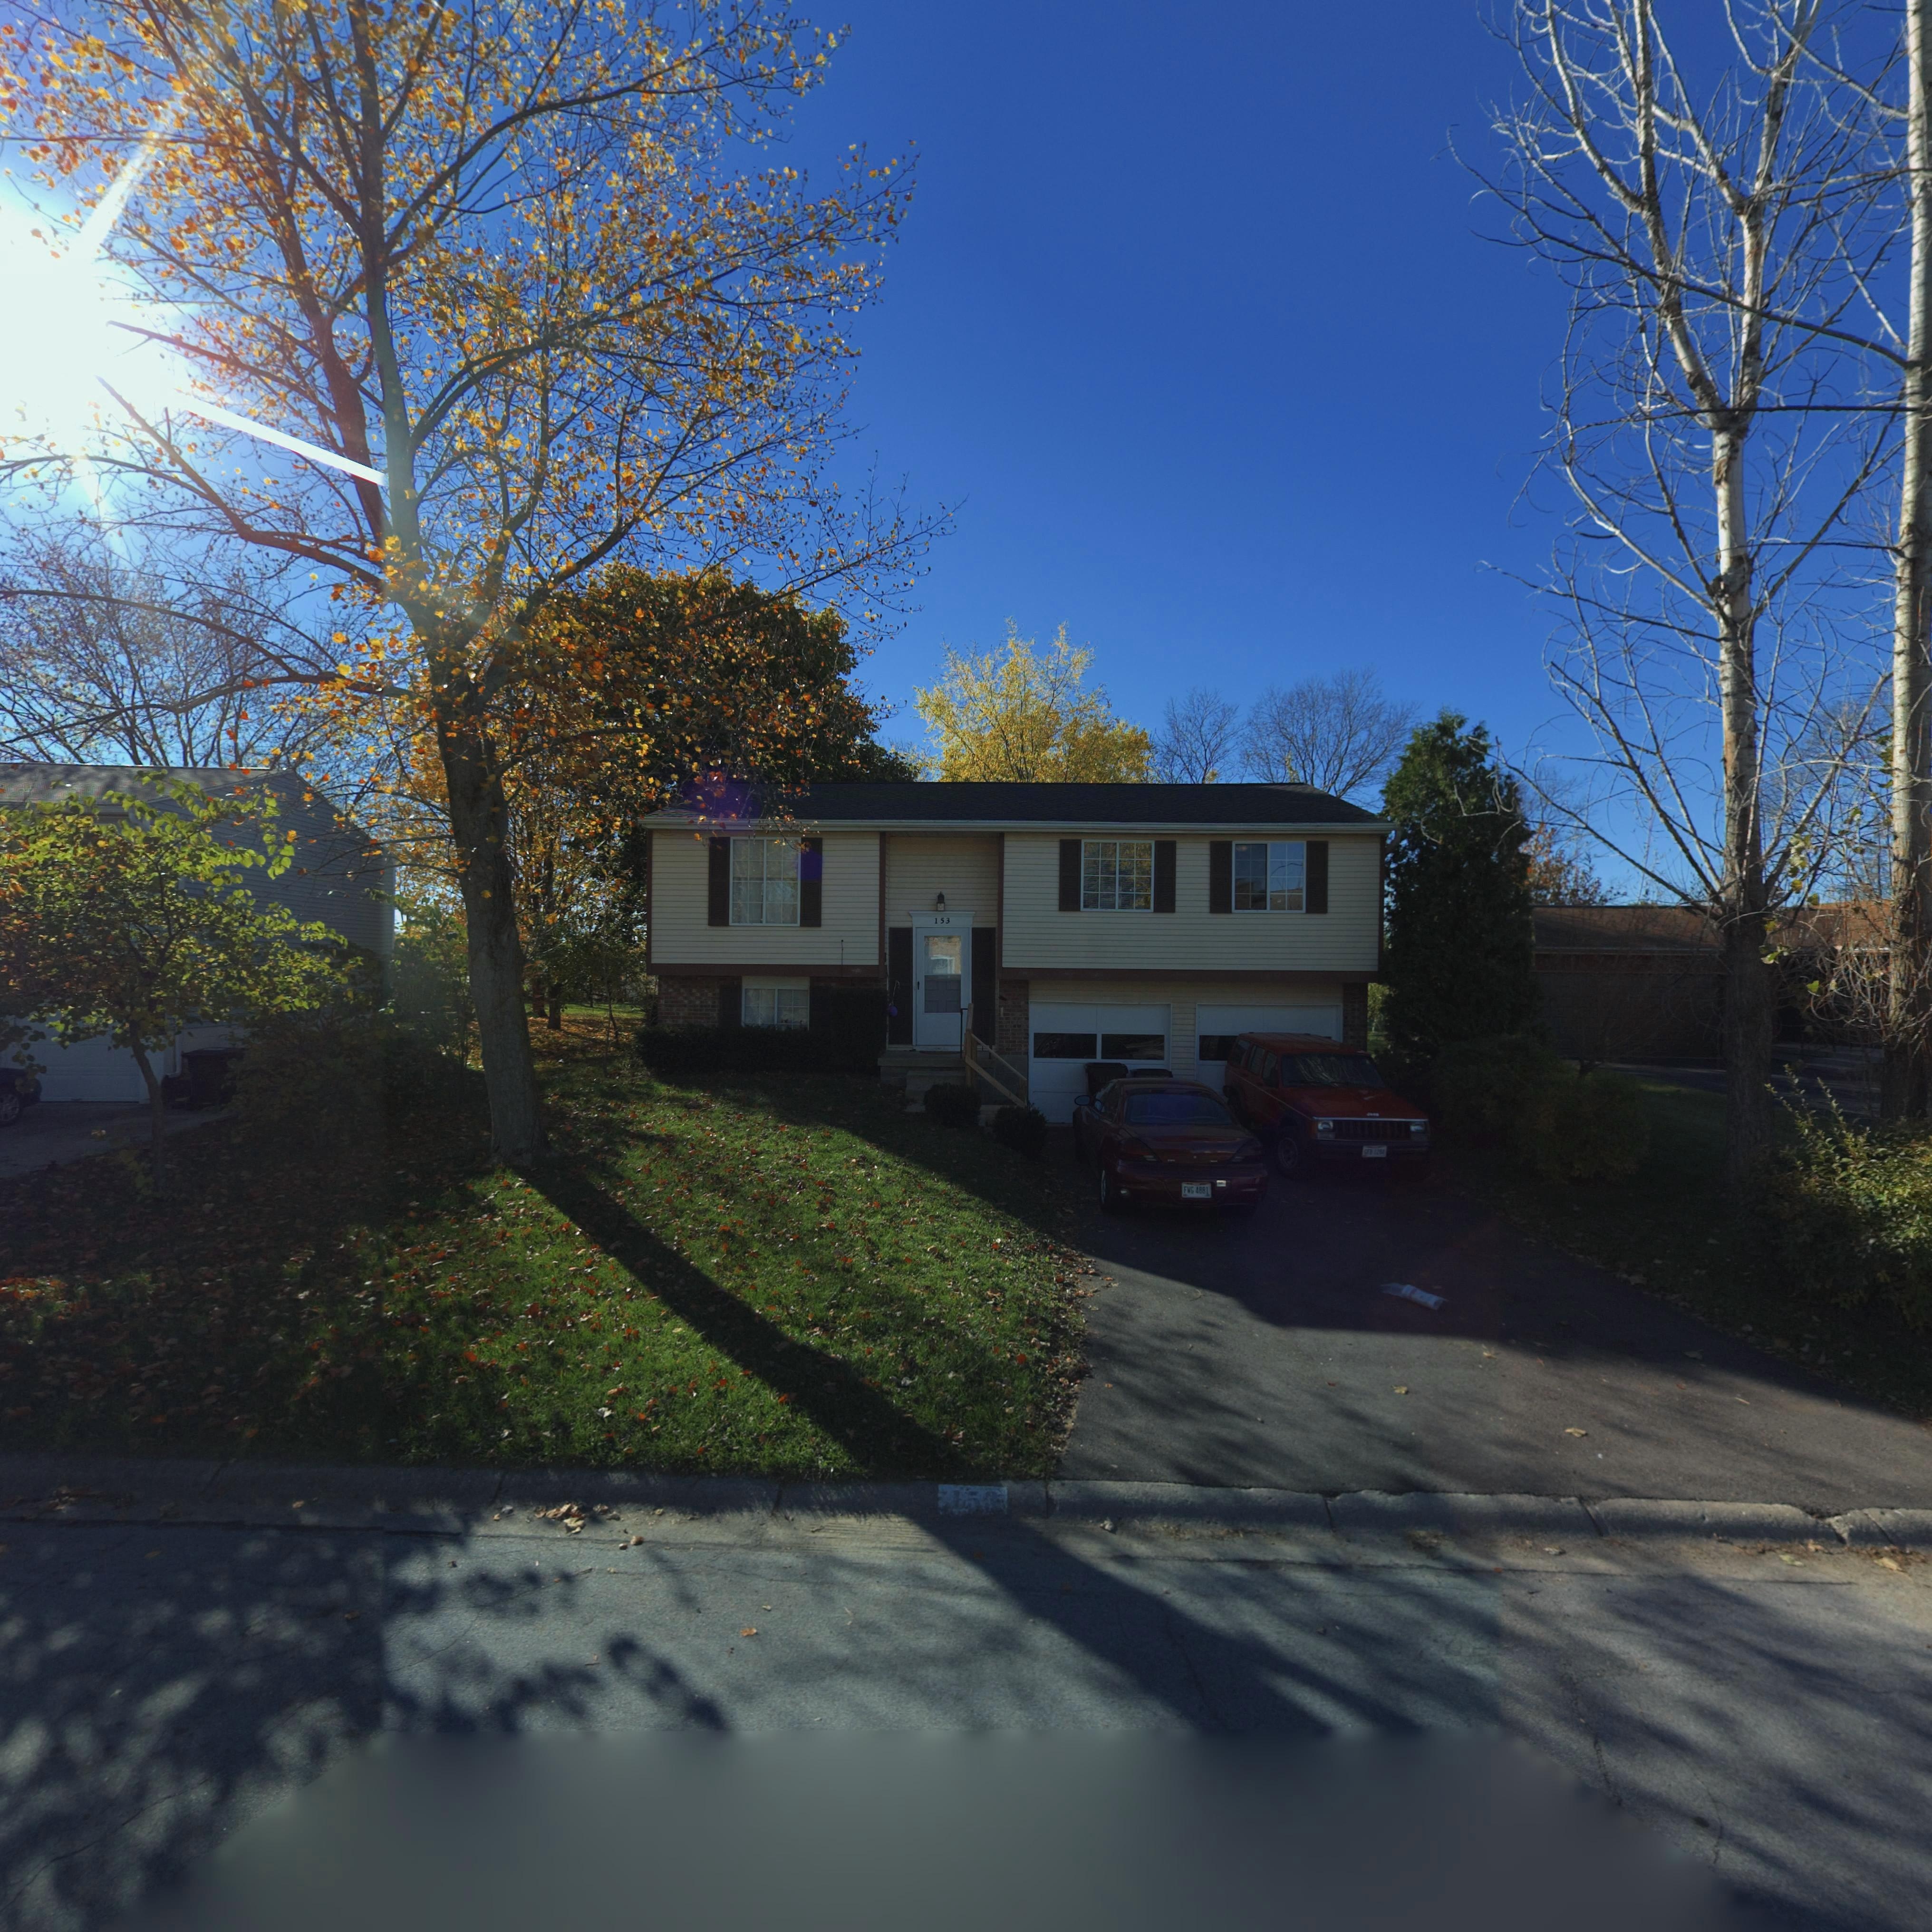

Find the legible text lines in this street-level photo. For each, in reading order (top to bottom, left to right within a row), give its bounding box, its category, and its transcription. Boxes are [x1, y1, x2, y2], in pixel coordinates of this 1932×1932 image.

[934, 917, 951, 925] StreetNumber: 153